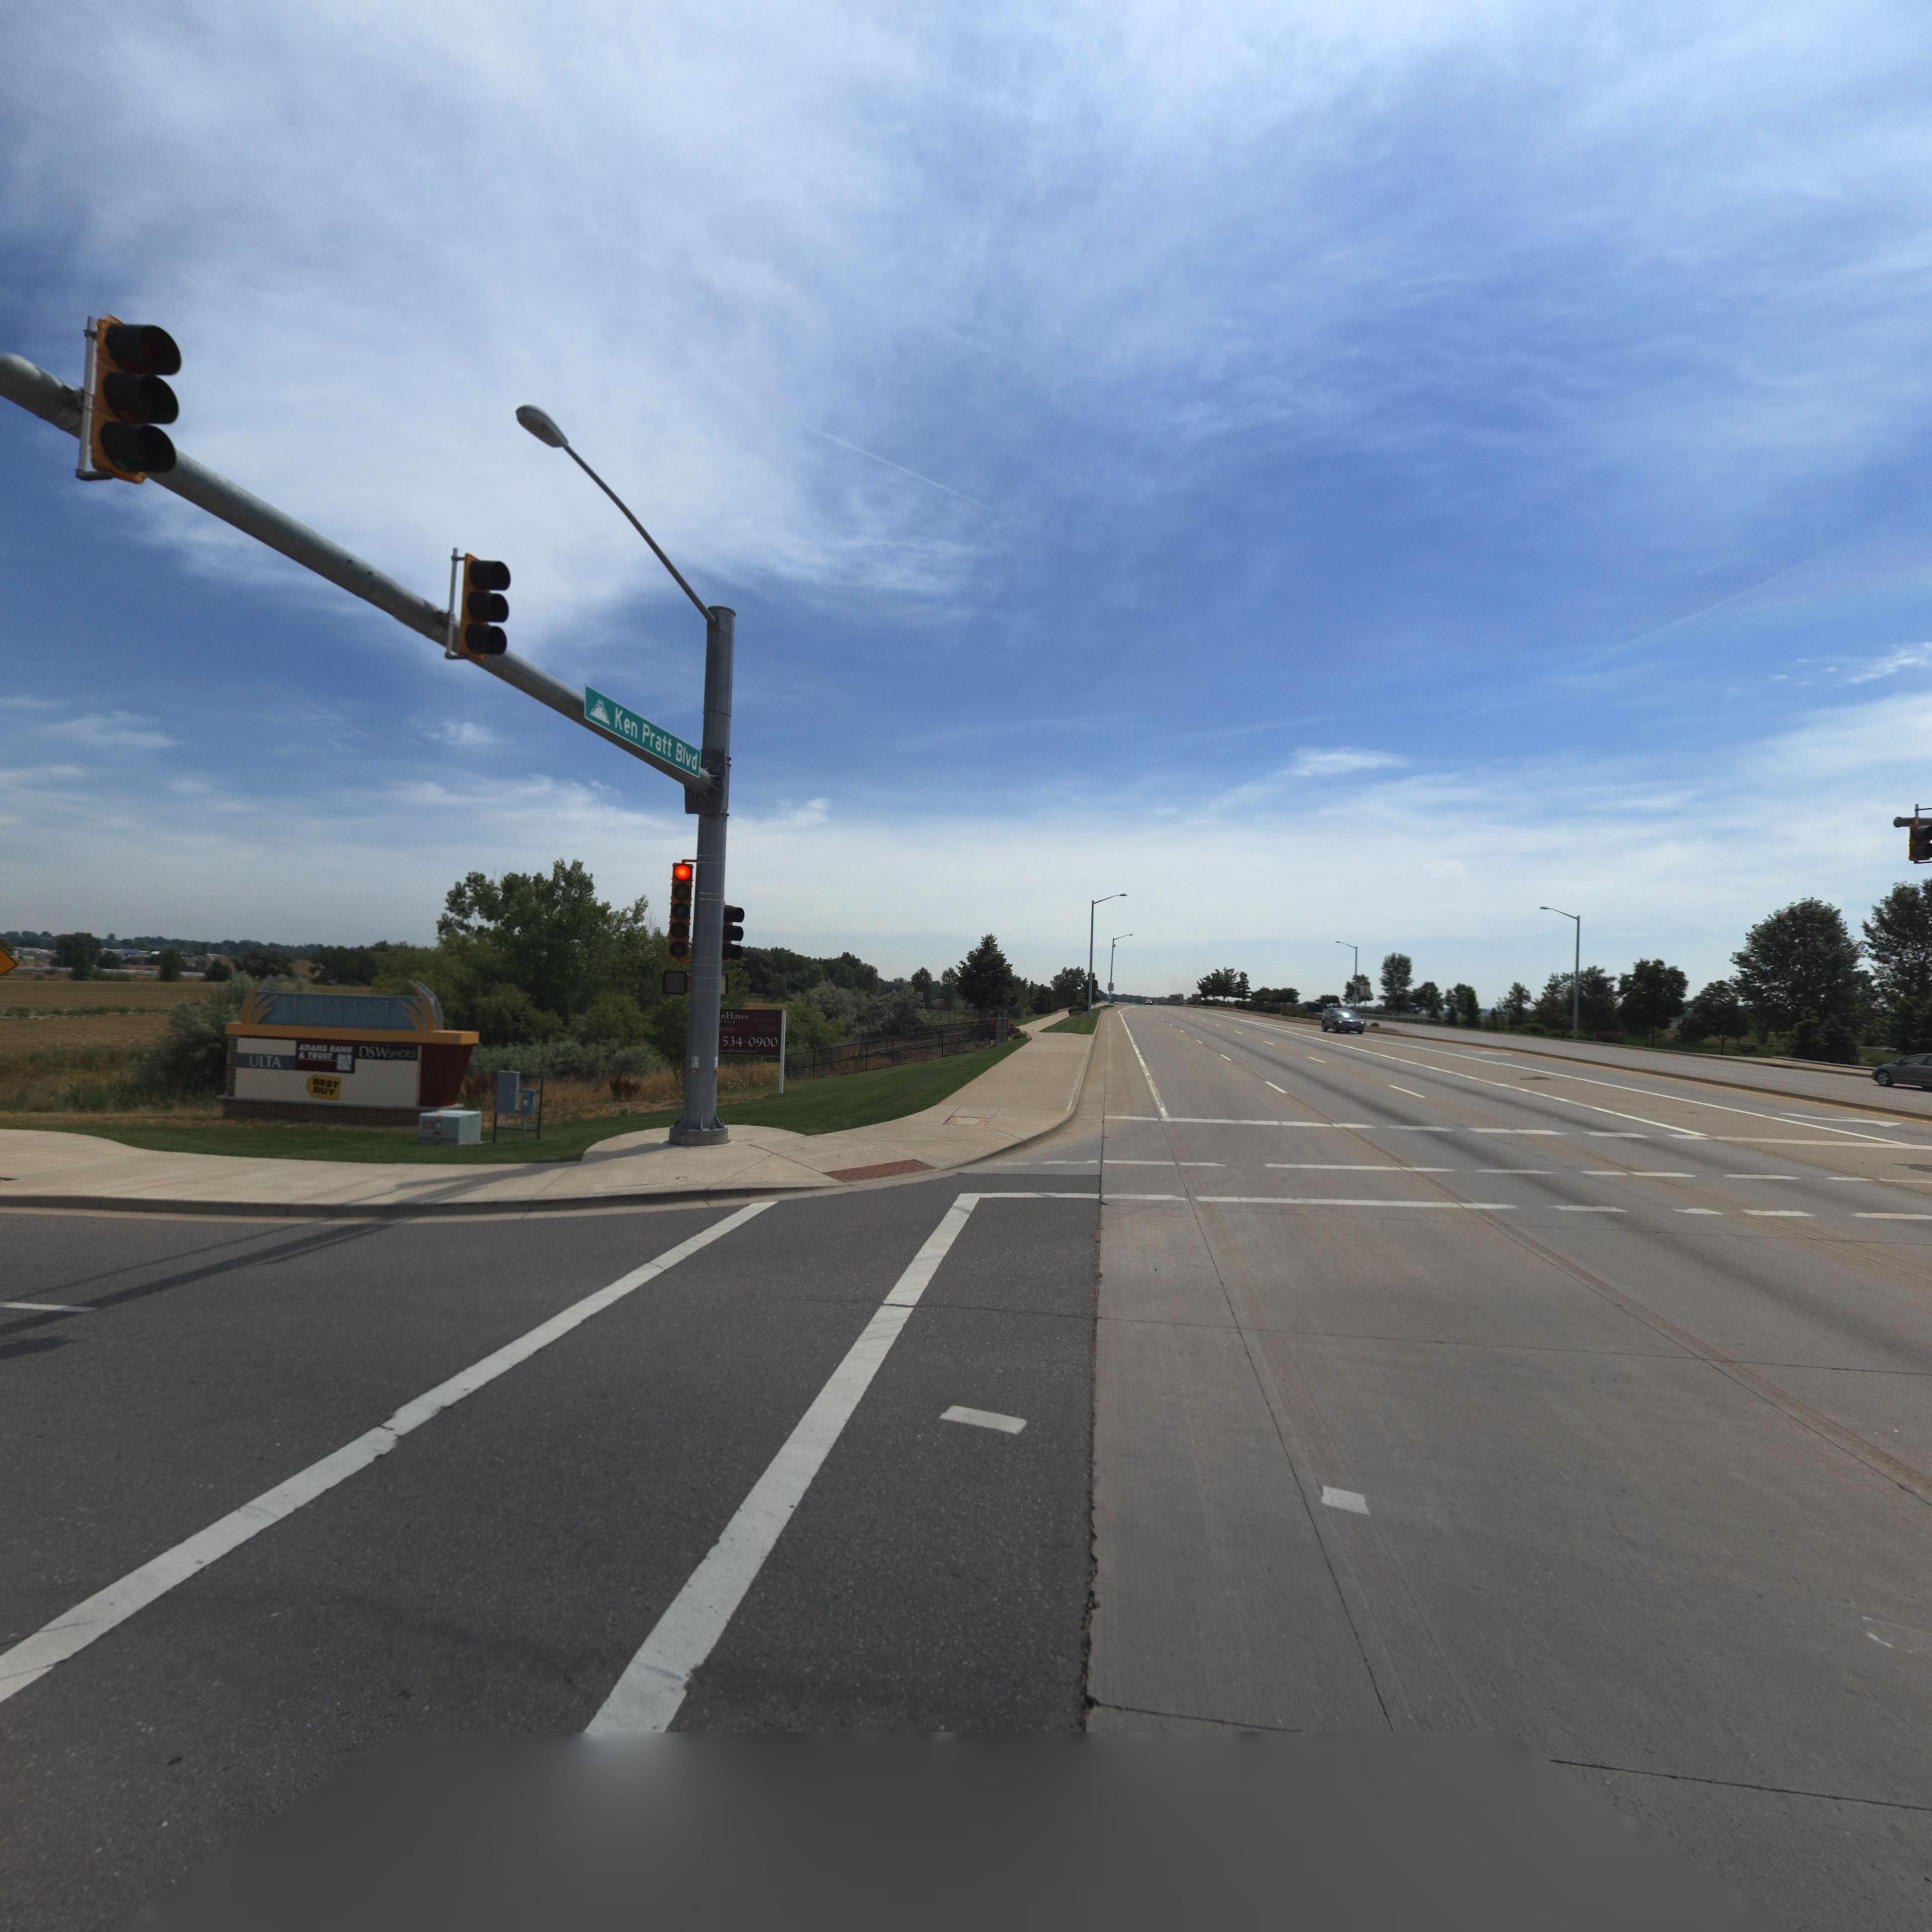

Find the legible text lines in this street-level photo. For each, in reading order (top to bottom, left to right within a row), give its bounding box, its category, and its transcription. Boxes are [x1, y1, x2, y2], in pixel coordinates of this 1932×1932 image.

[614, 706, 698, 771] StreetName: Ken Pratt Blvd
[298, 1051, 333, 1060] BusinessName: & TRUST
[298, 1043, 353, 1053] BusinessName: ADAMS BANK
[358, 1045, 416, 1059] BusinessName: DSWSHOES
[249, 1055, 281, 1068] BusinessName: ULTA
[313, 1078, 338, 1088] BusinessName: BEST
[313, 1086, 335, 1095] BusinessName: BUY